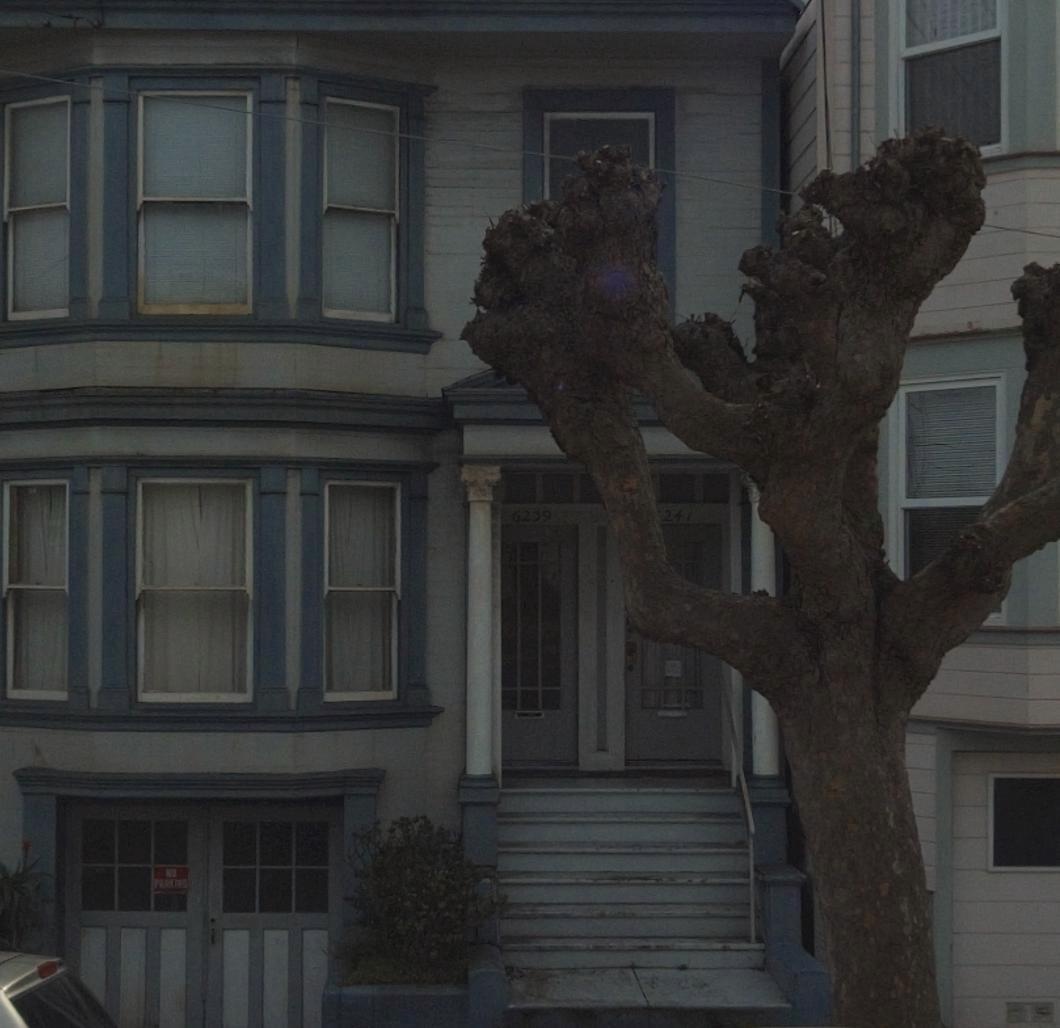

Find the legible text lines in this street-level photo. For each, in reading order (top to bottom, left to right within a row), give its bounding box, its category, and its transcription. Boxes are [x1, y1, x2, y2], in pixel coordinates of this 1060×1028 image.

[512, 508, 552, 523] StreetNumber: 6239
[662, 508, 694, 522] StreetNumber: 241
[164, 867, 178, 878] None: NO
[152, 878, 189, 889] None: PARKING